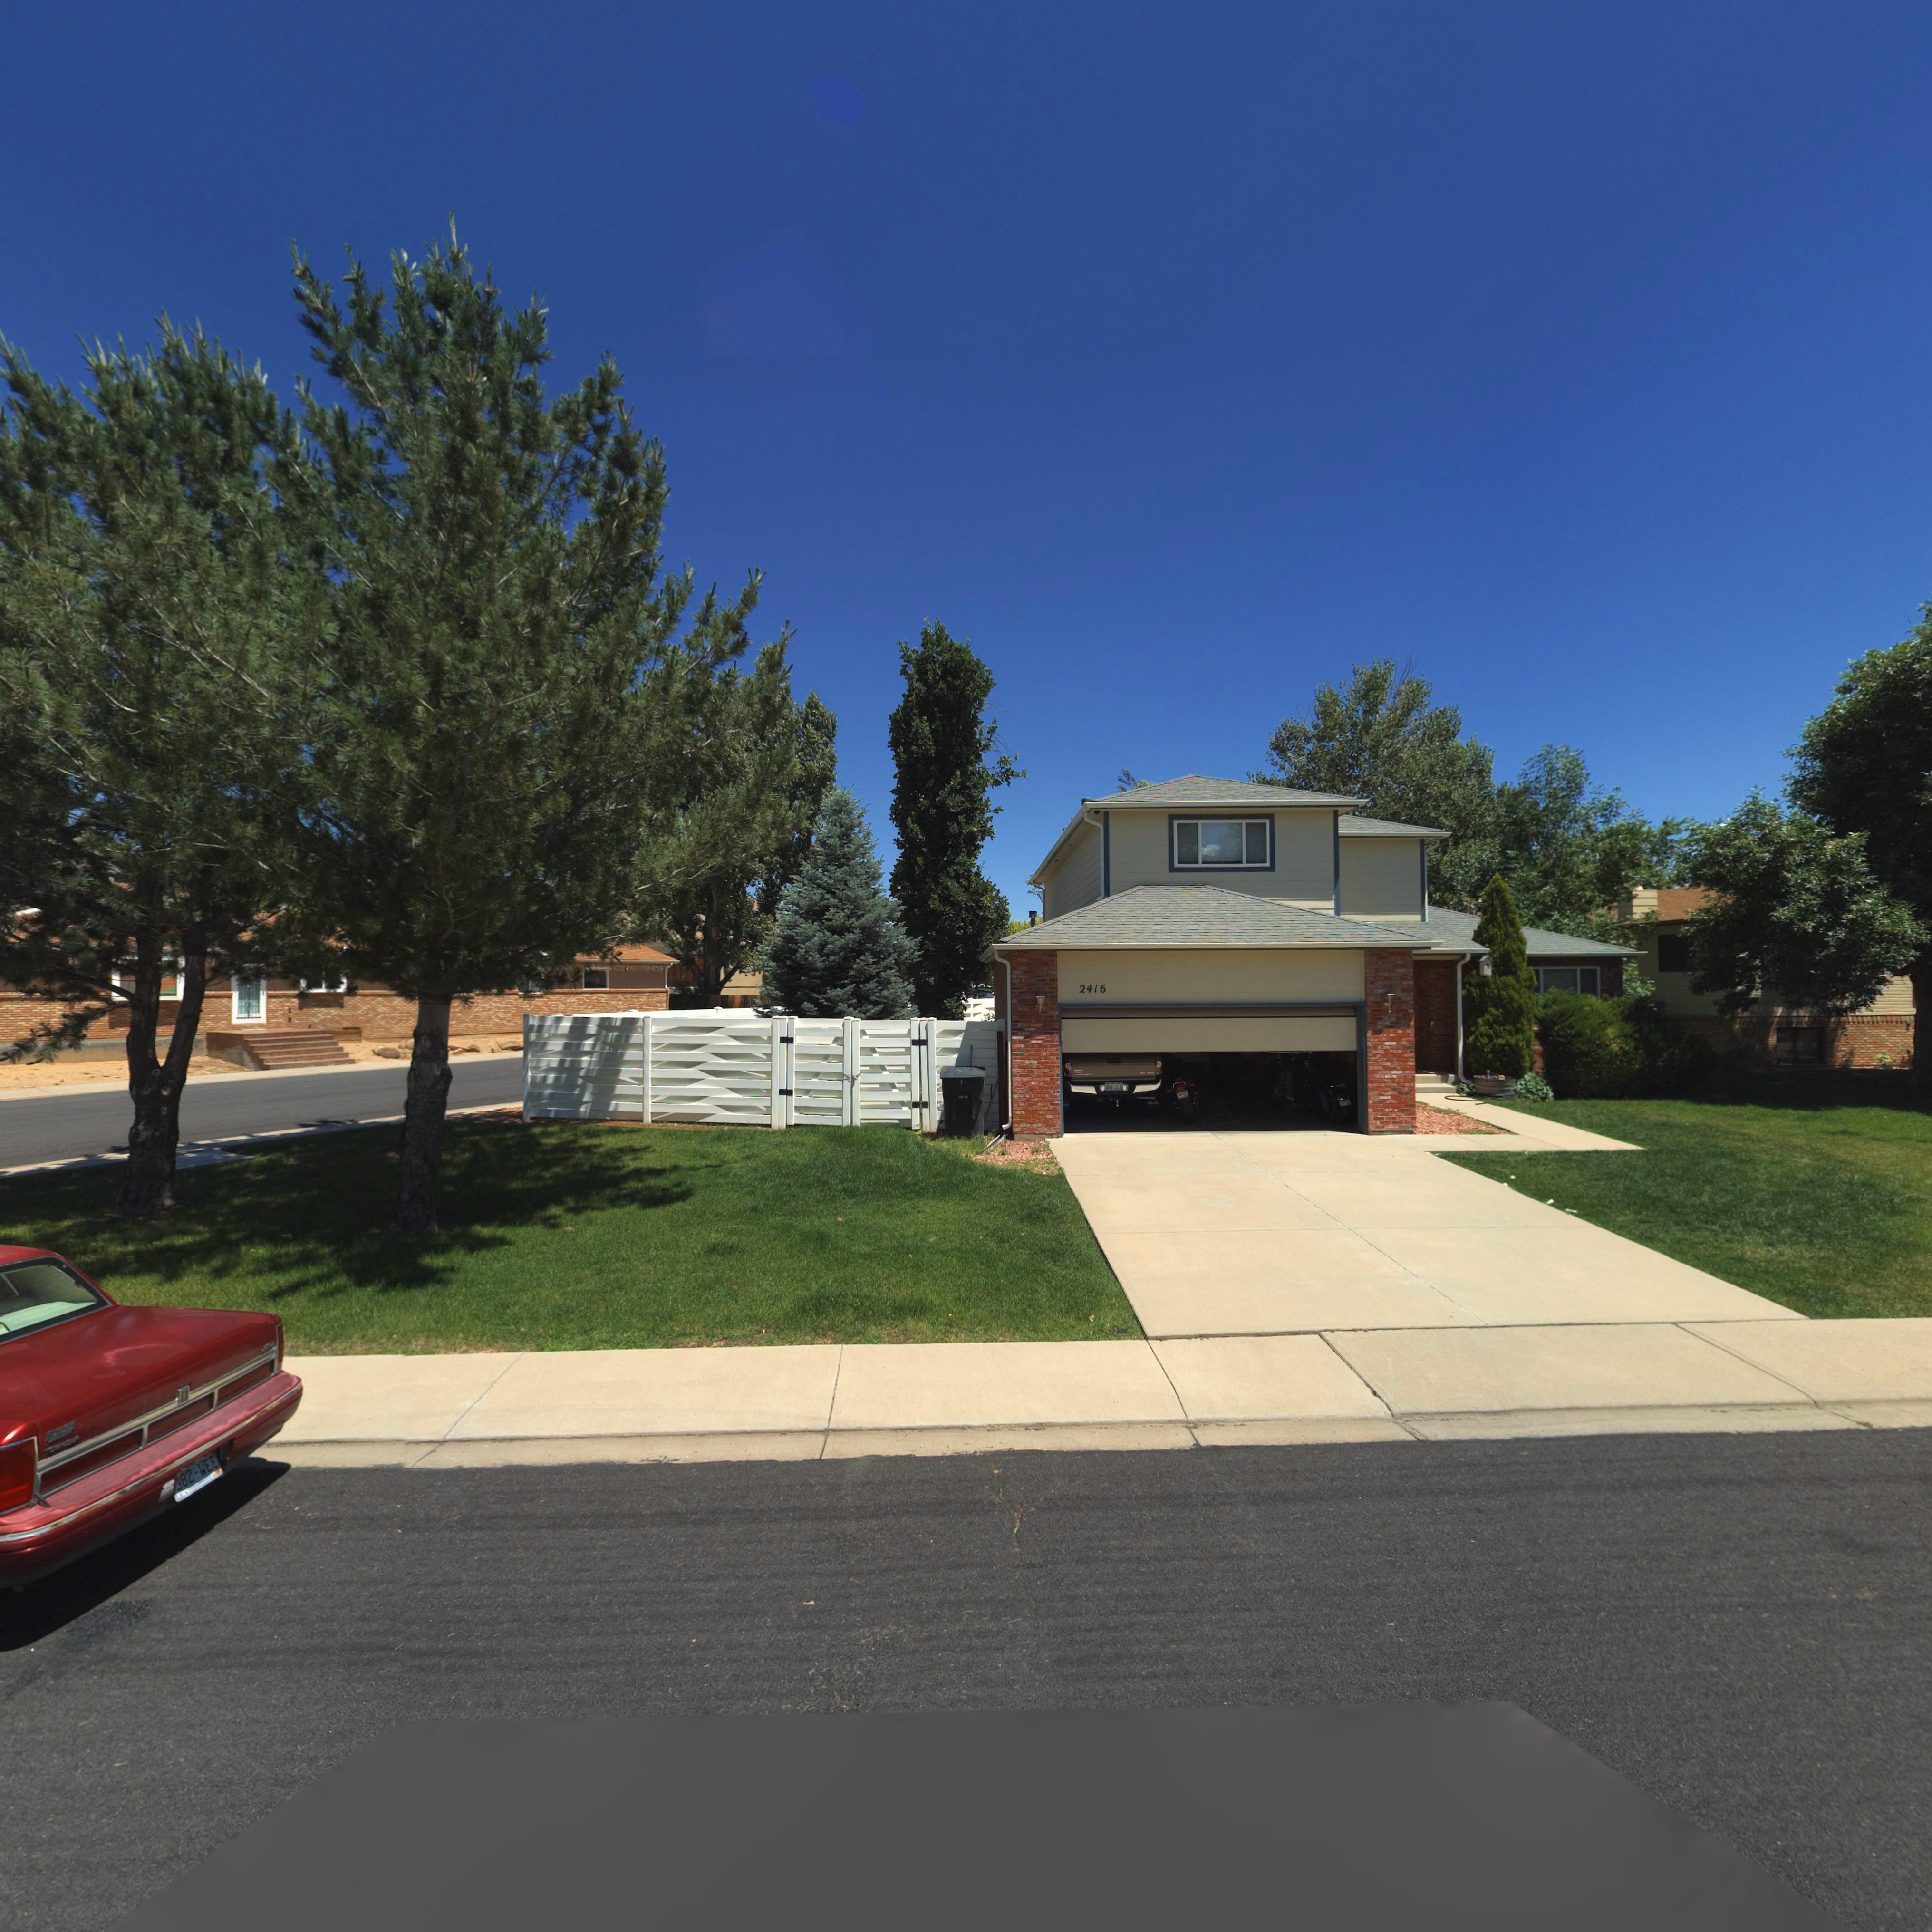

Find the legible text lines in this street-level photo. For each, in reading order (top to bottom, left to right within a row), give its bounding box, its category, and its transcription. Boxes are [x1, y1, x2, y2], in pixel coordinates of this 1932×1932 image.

[1079, 984, 1106, 993] StreetNumber: 2416